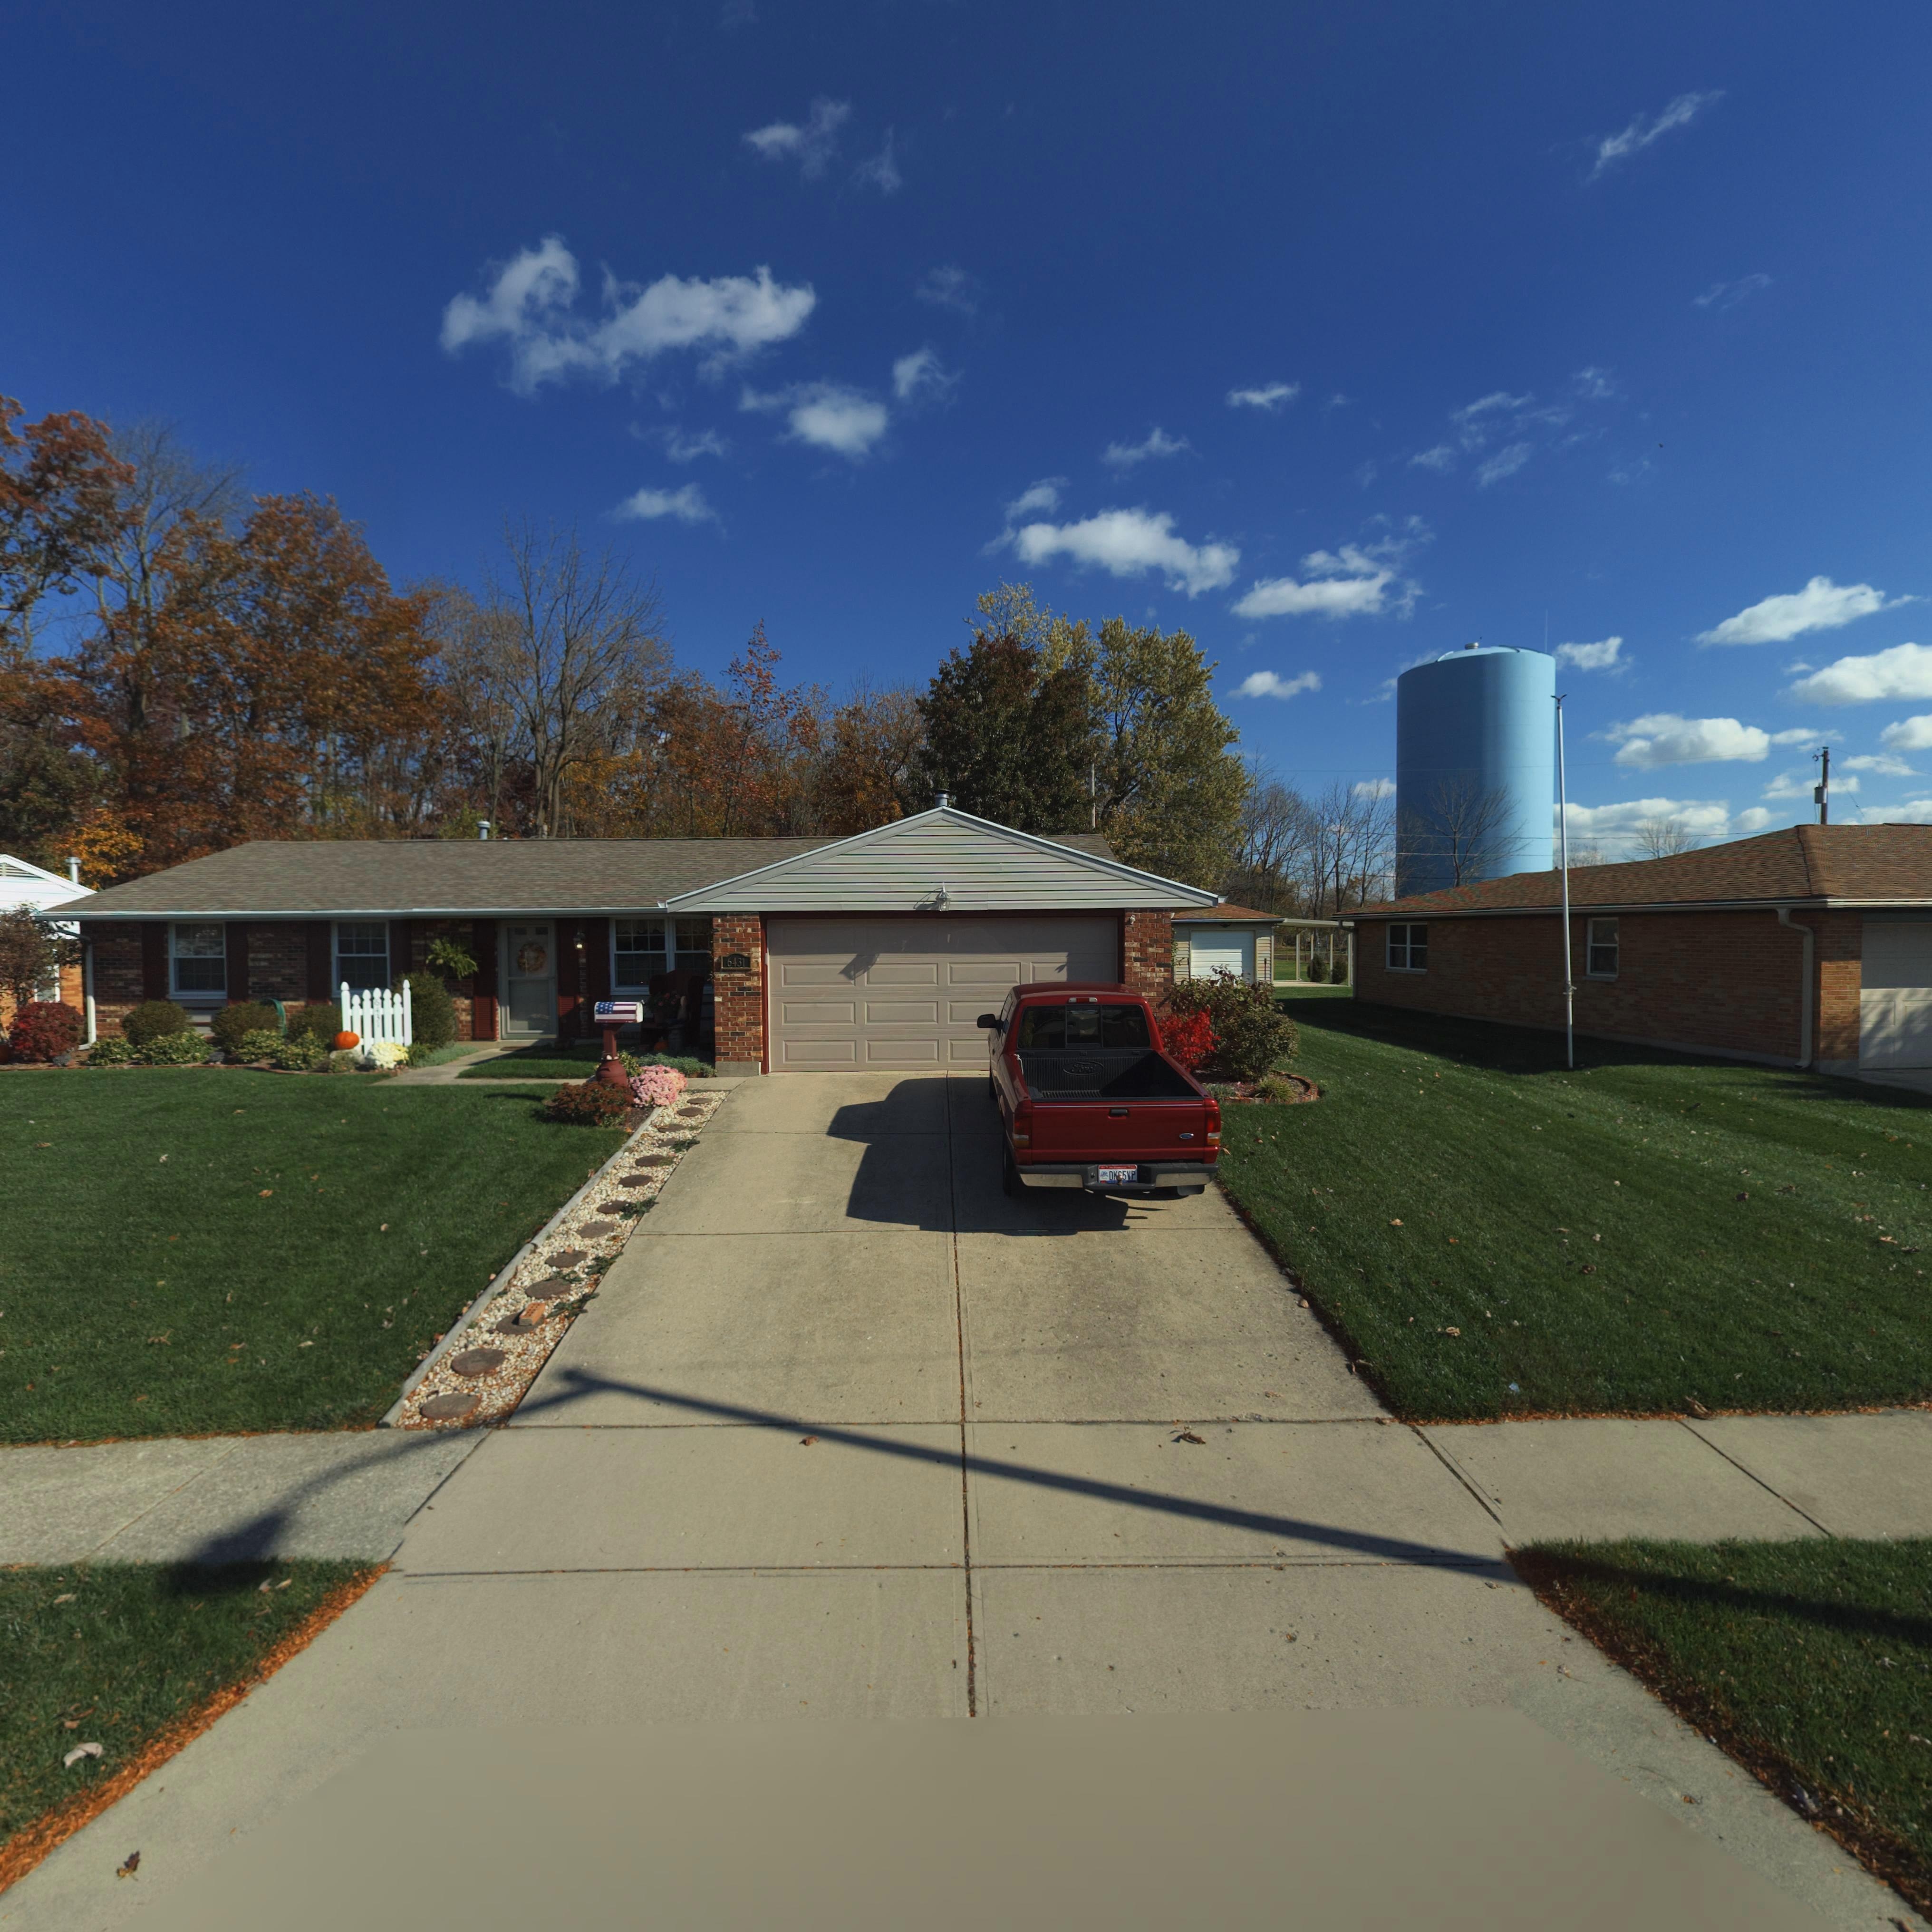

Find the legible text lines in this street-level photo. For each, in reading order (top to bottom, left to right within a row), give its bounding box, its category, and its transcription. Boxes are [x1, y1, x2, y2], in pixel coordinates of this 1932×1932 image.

[726, 956, 746, 968] StreetNumber: 6431
[374, 998, 381, 1029] StreetNumber: 6431